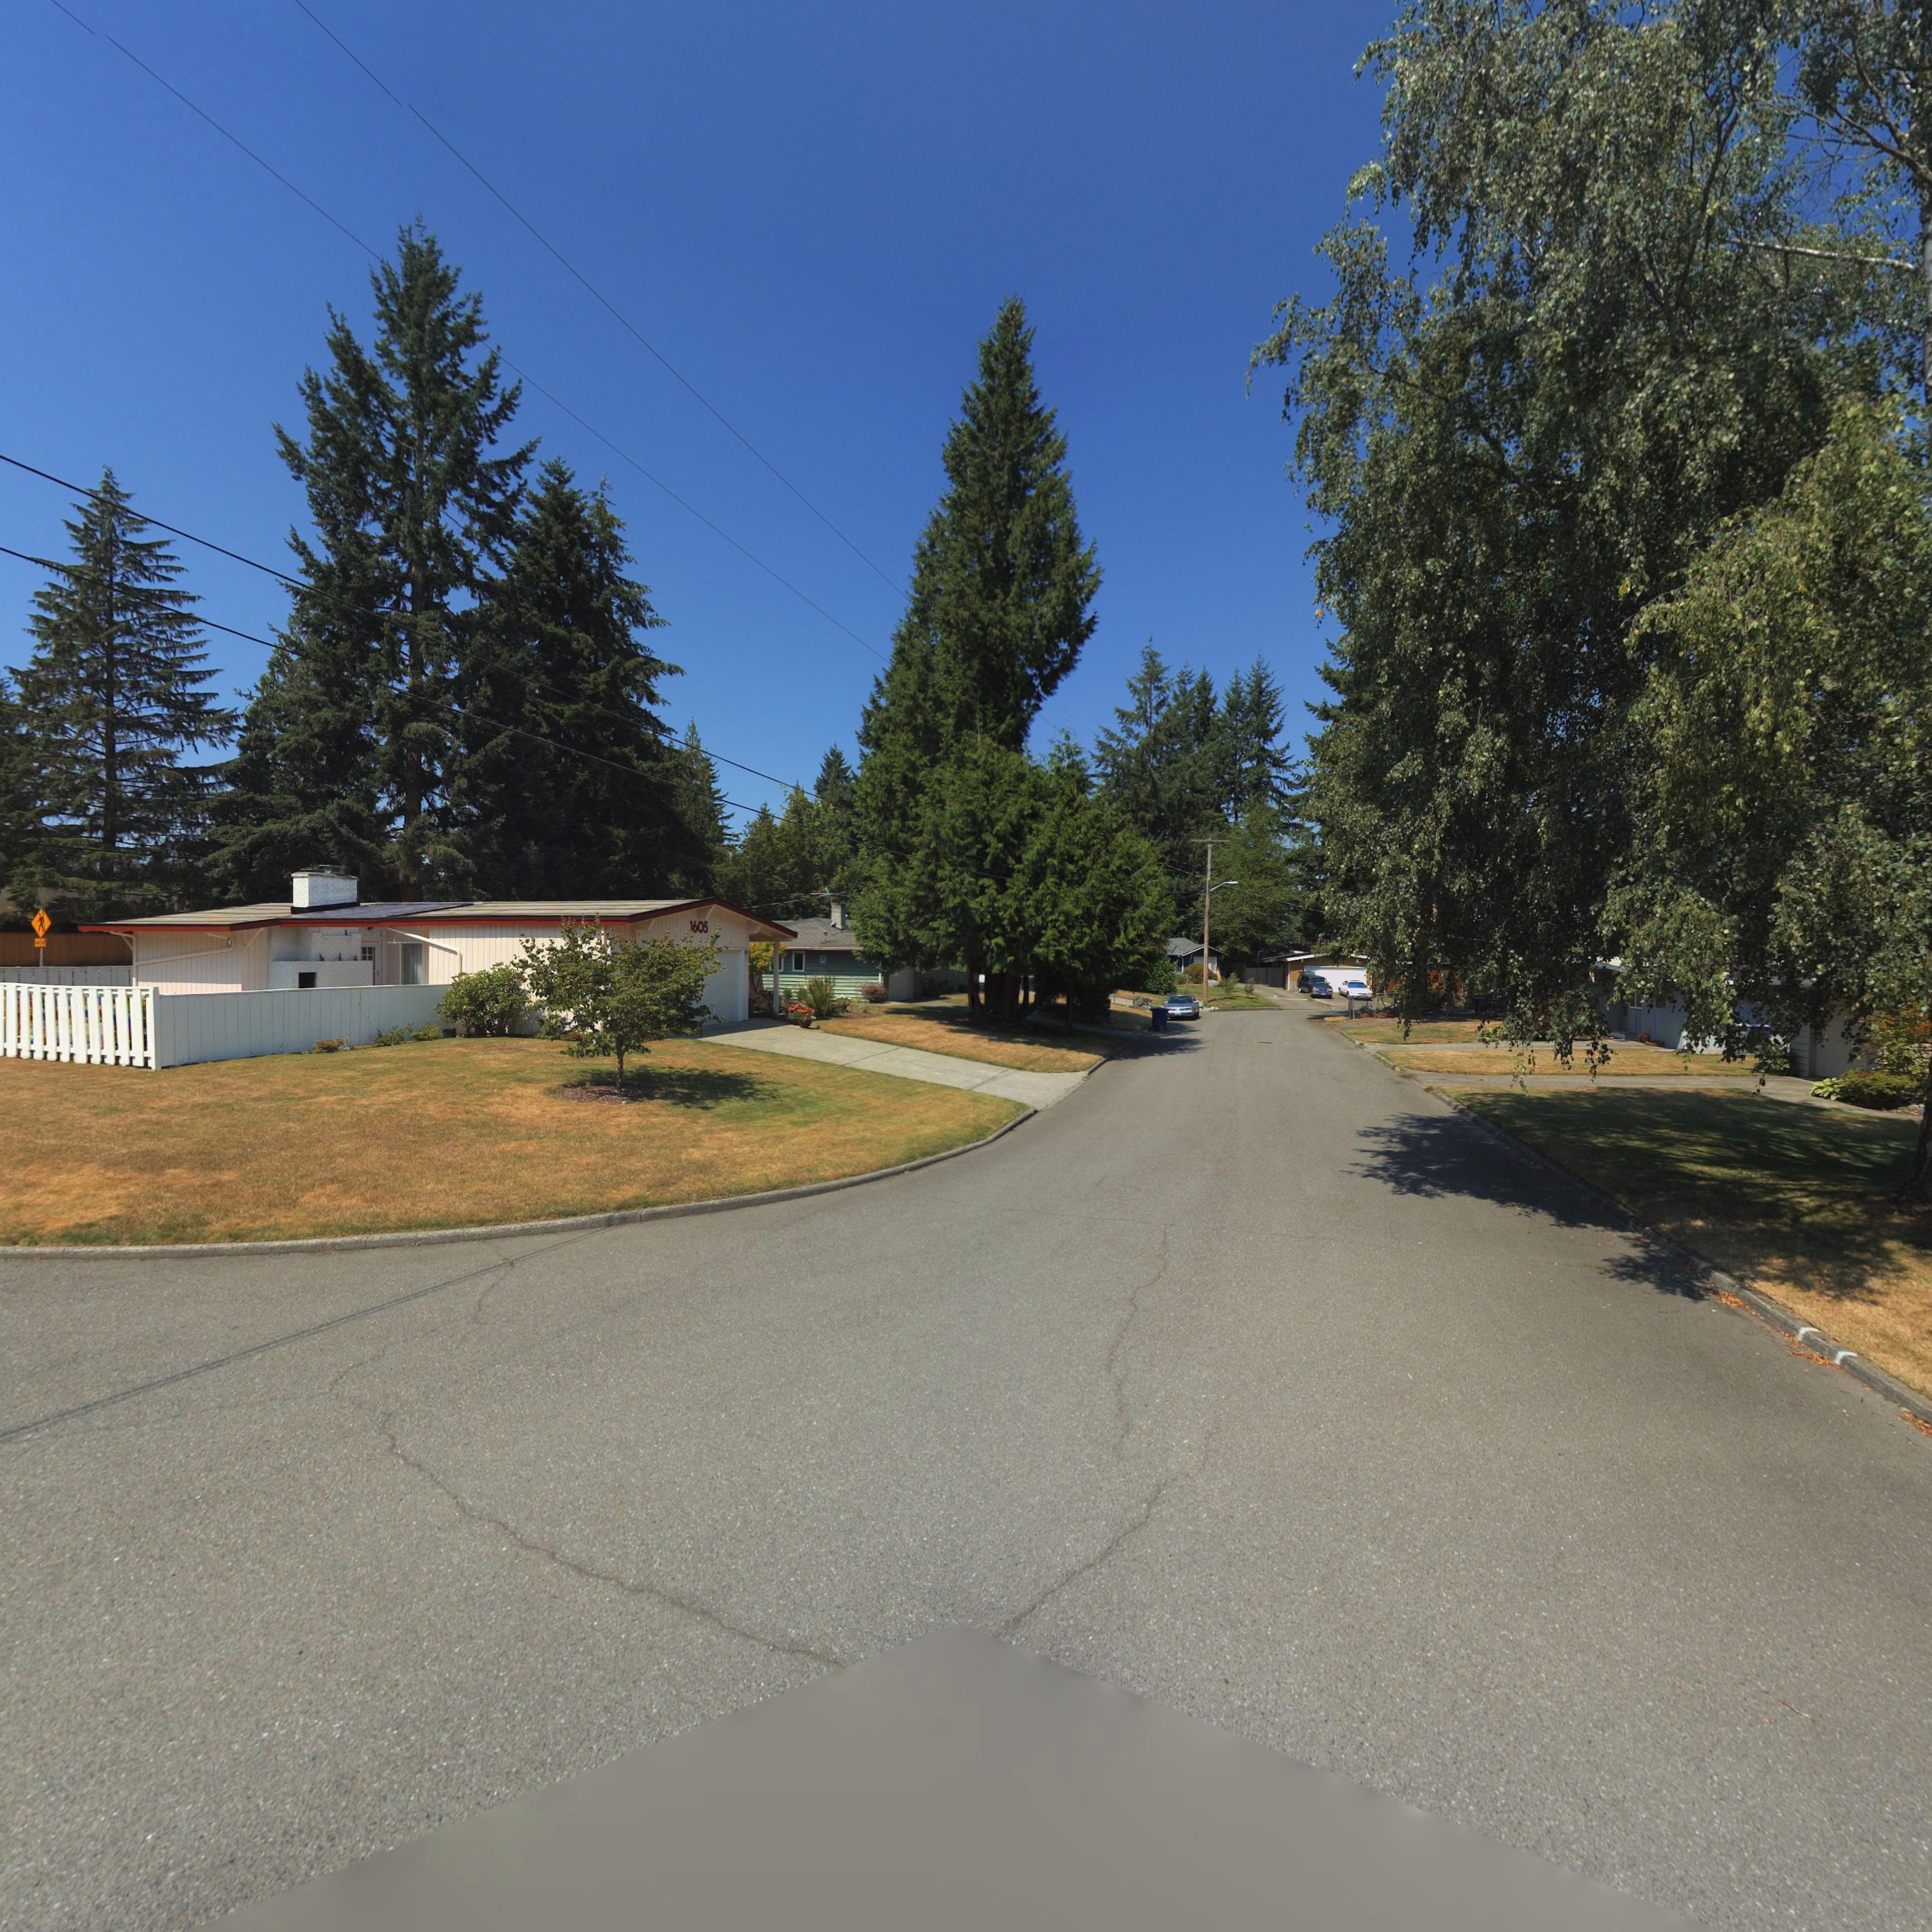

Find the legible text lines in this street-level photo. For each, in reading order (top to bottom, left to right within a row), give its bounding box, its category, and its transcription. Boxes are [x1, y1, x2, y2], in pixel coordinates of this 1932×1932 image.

[689, 920, 708, 934] StreetNumber: 1605